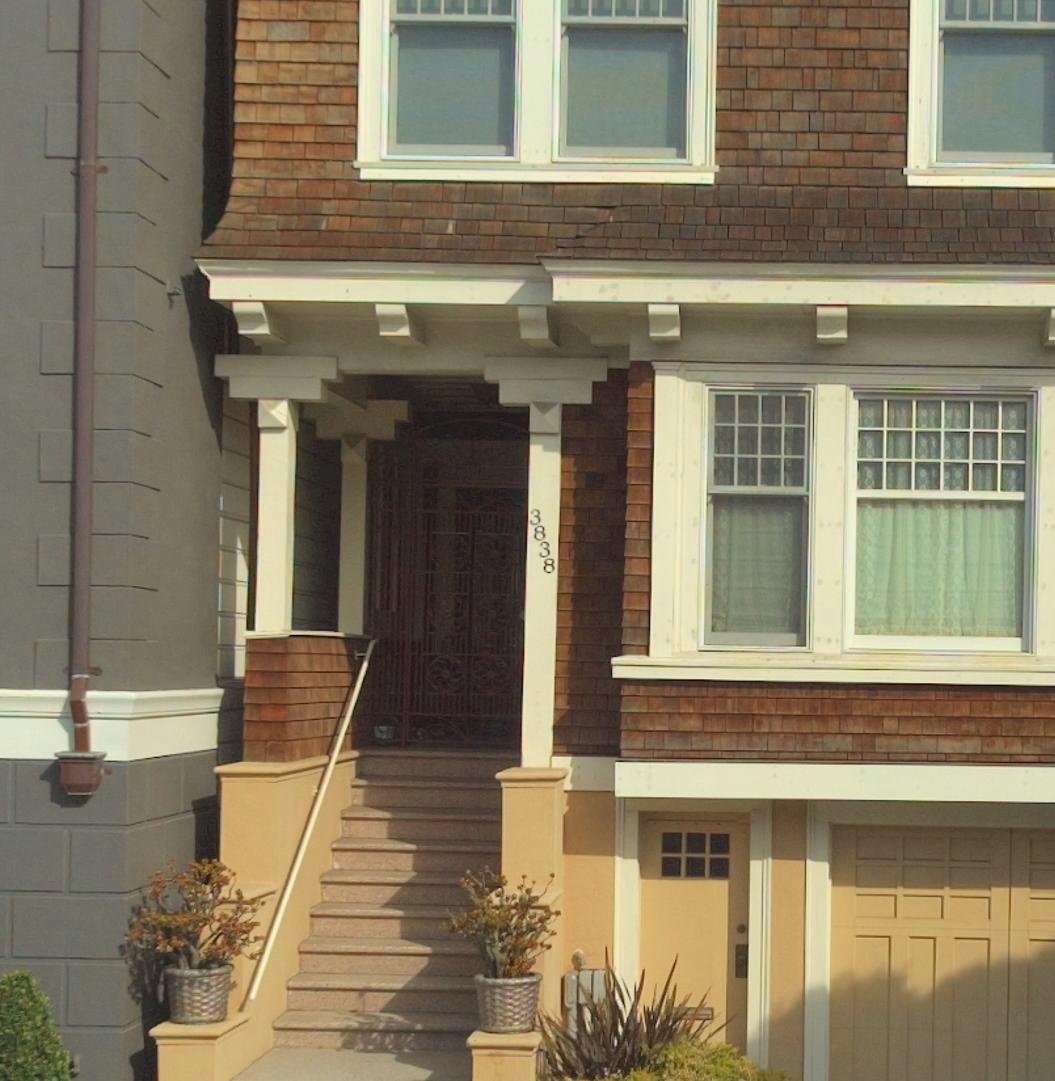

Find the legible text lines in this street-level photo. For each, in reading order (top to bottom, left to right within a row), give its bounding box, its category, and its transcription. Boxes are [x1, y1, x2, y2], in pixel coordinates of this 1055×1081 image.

[527, 506, 557, 576] StreetNumber: 3838